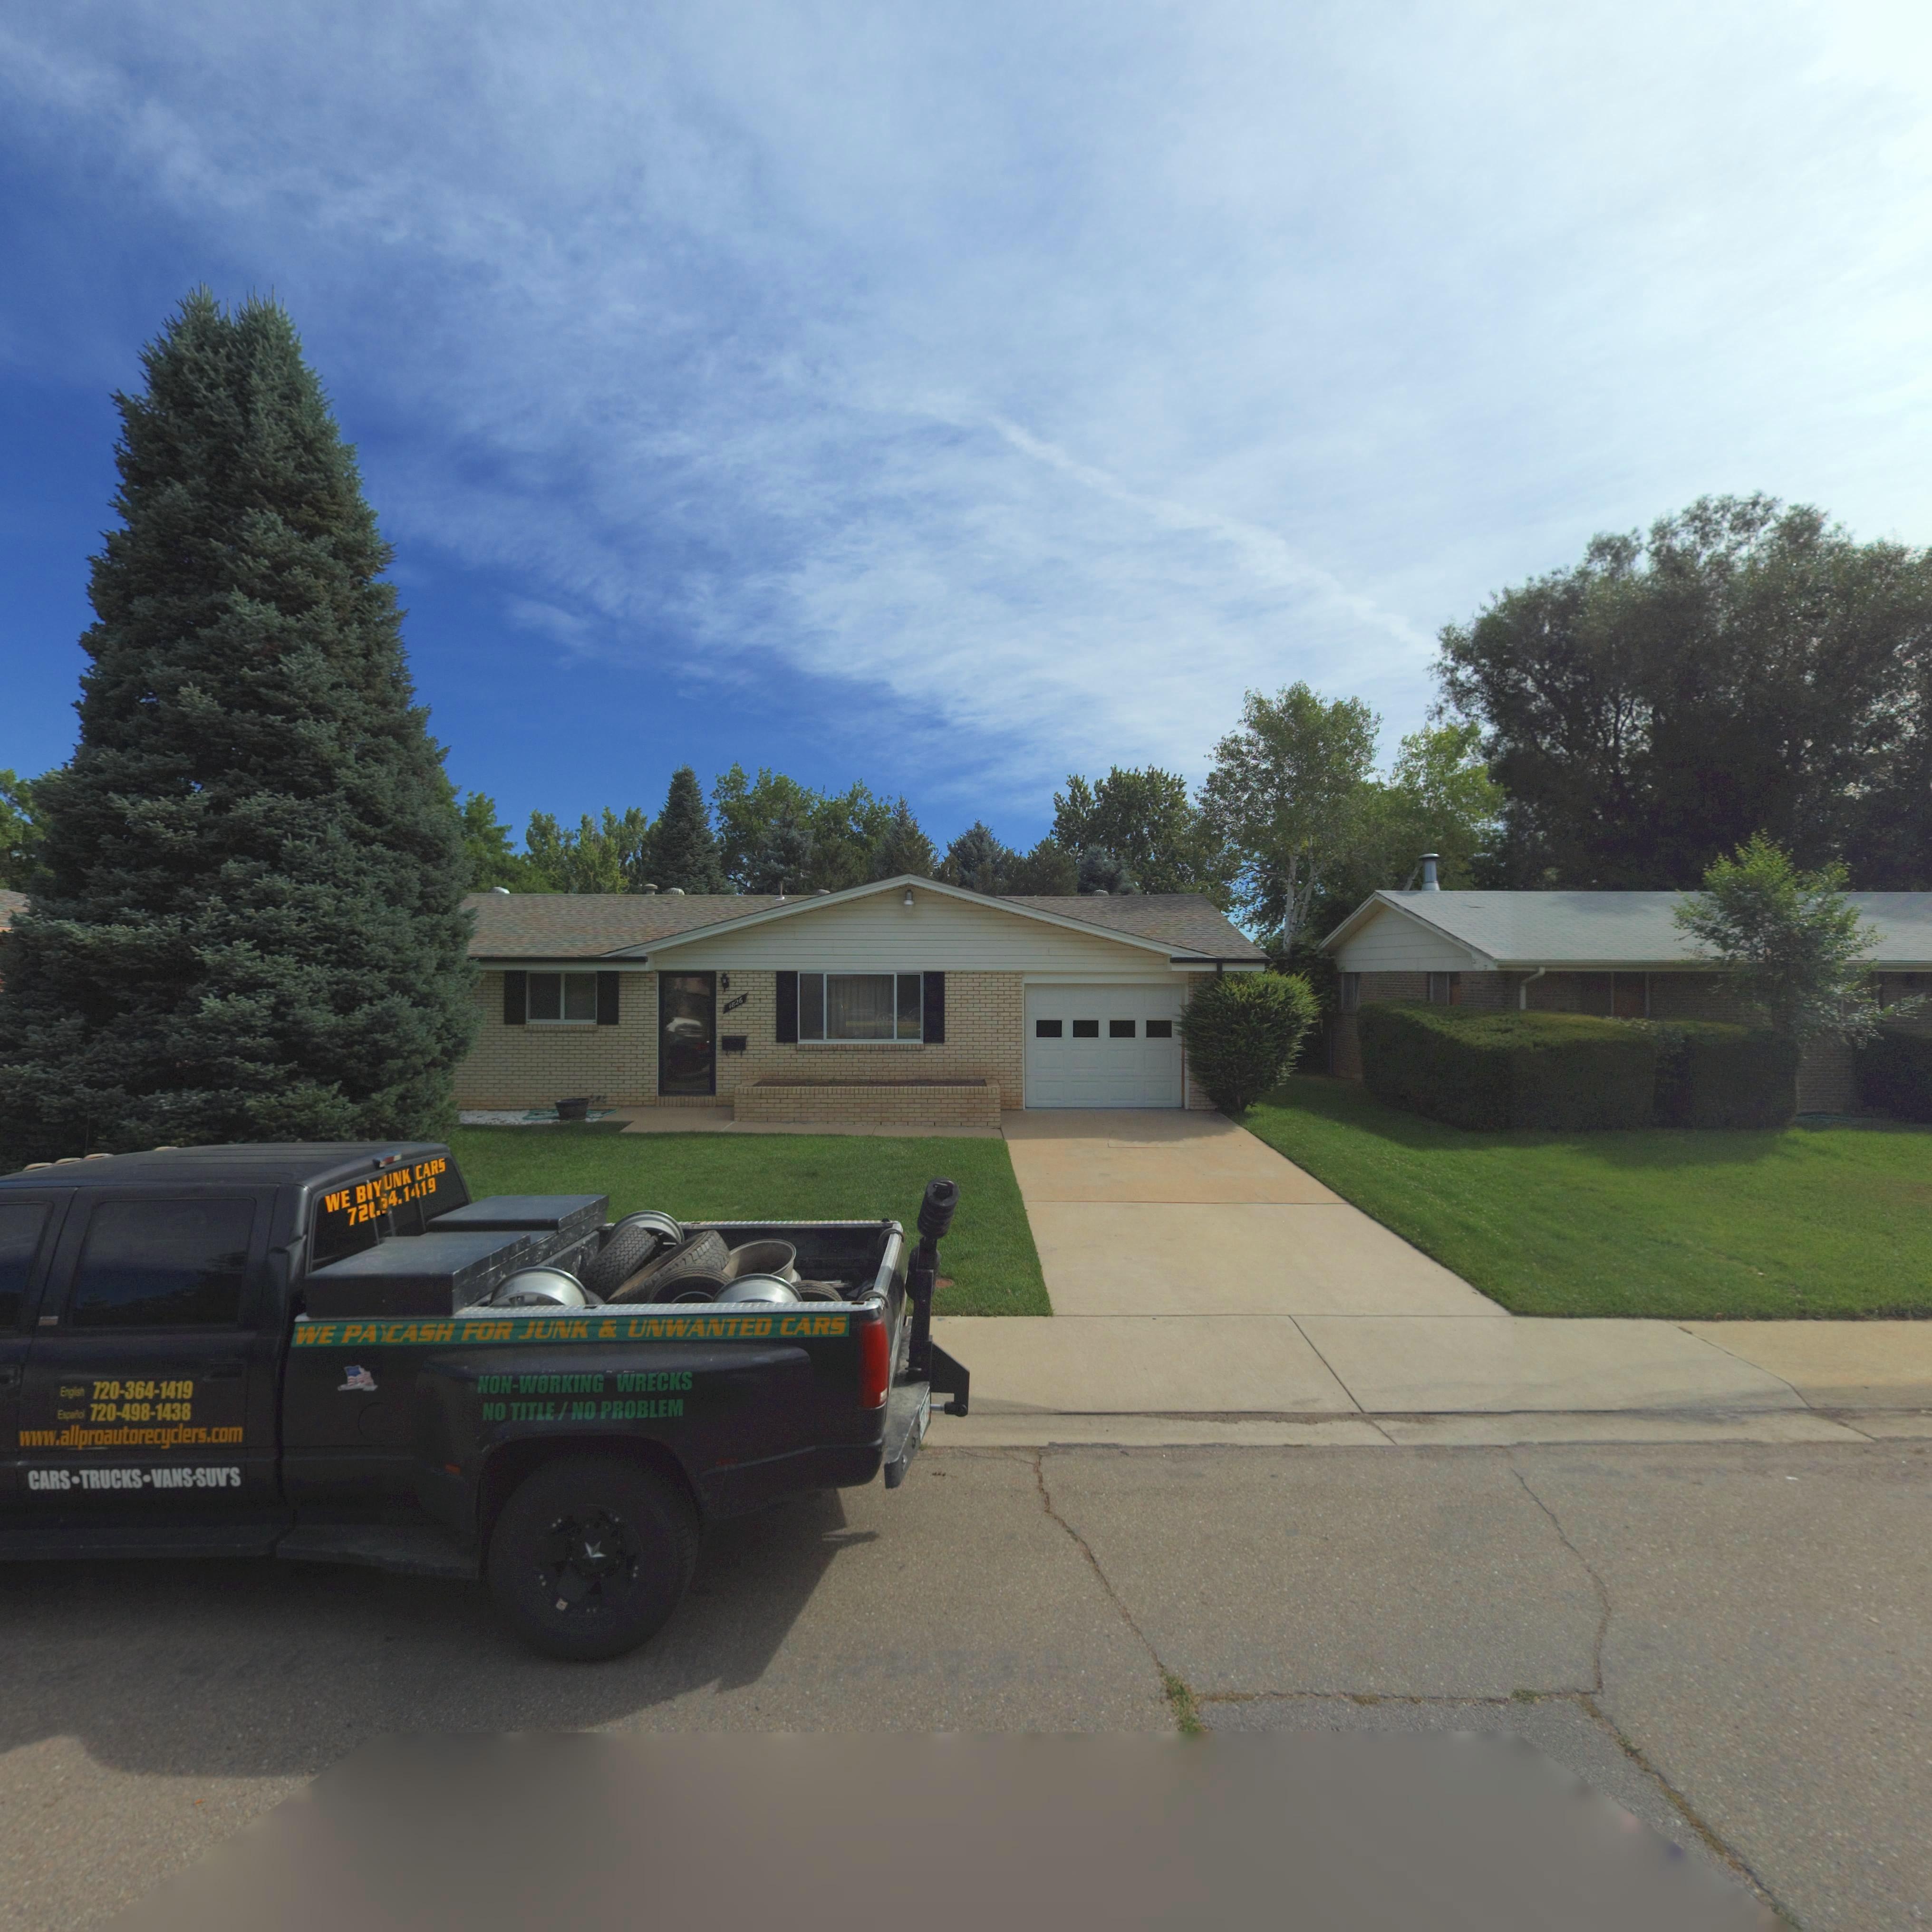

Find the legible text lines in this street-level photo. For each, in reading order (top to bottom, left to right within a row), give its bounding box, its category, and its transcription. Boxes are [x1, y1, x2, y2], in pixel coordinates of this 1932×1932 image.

[729, 997, 743, 1009] StreetNumber: 1826